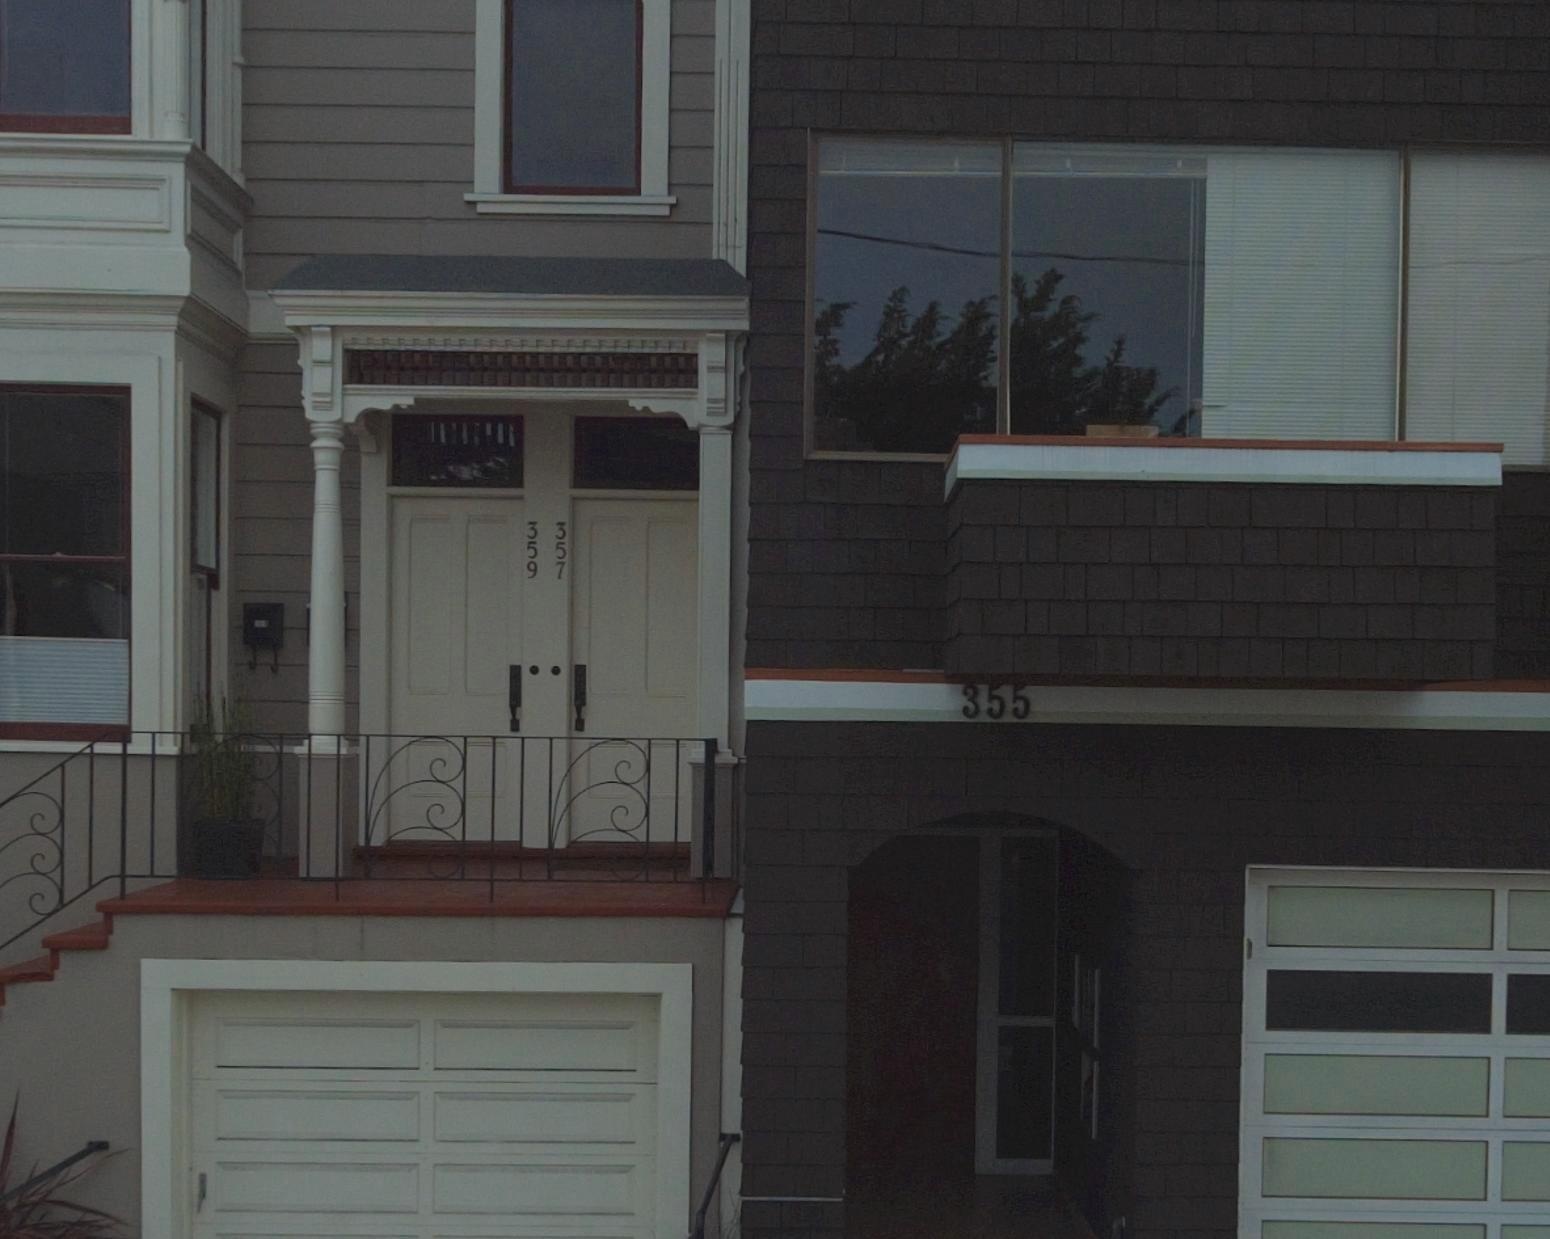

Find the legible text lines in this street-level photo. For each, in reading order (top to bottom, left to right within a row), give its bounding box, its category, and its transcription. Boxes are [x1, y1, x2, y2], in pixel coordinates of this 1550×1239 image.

[526, 521, 539, 580] StreetNumber: 359
[554, 521, 567, 581] StreetNumber: 357
[961, 682, 1030, 720] StreetNumber: 355